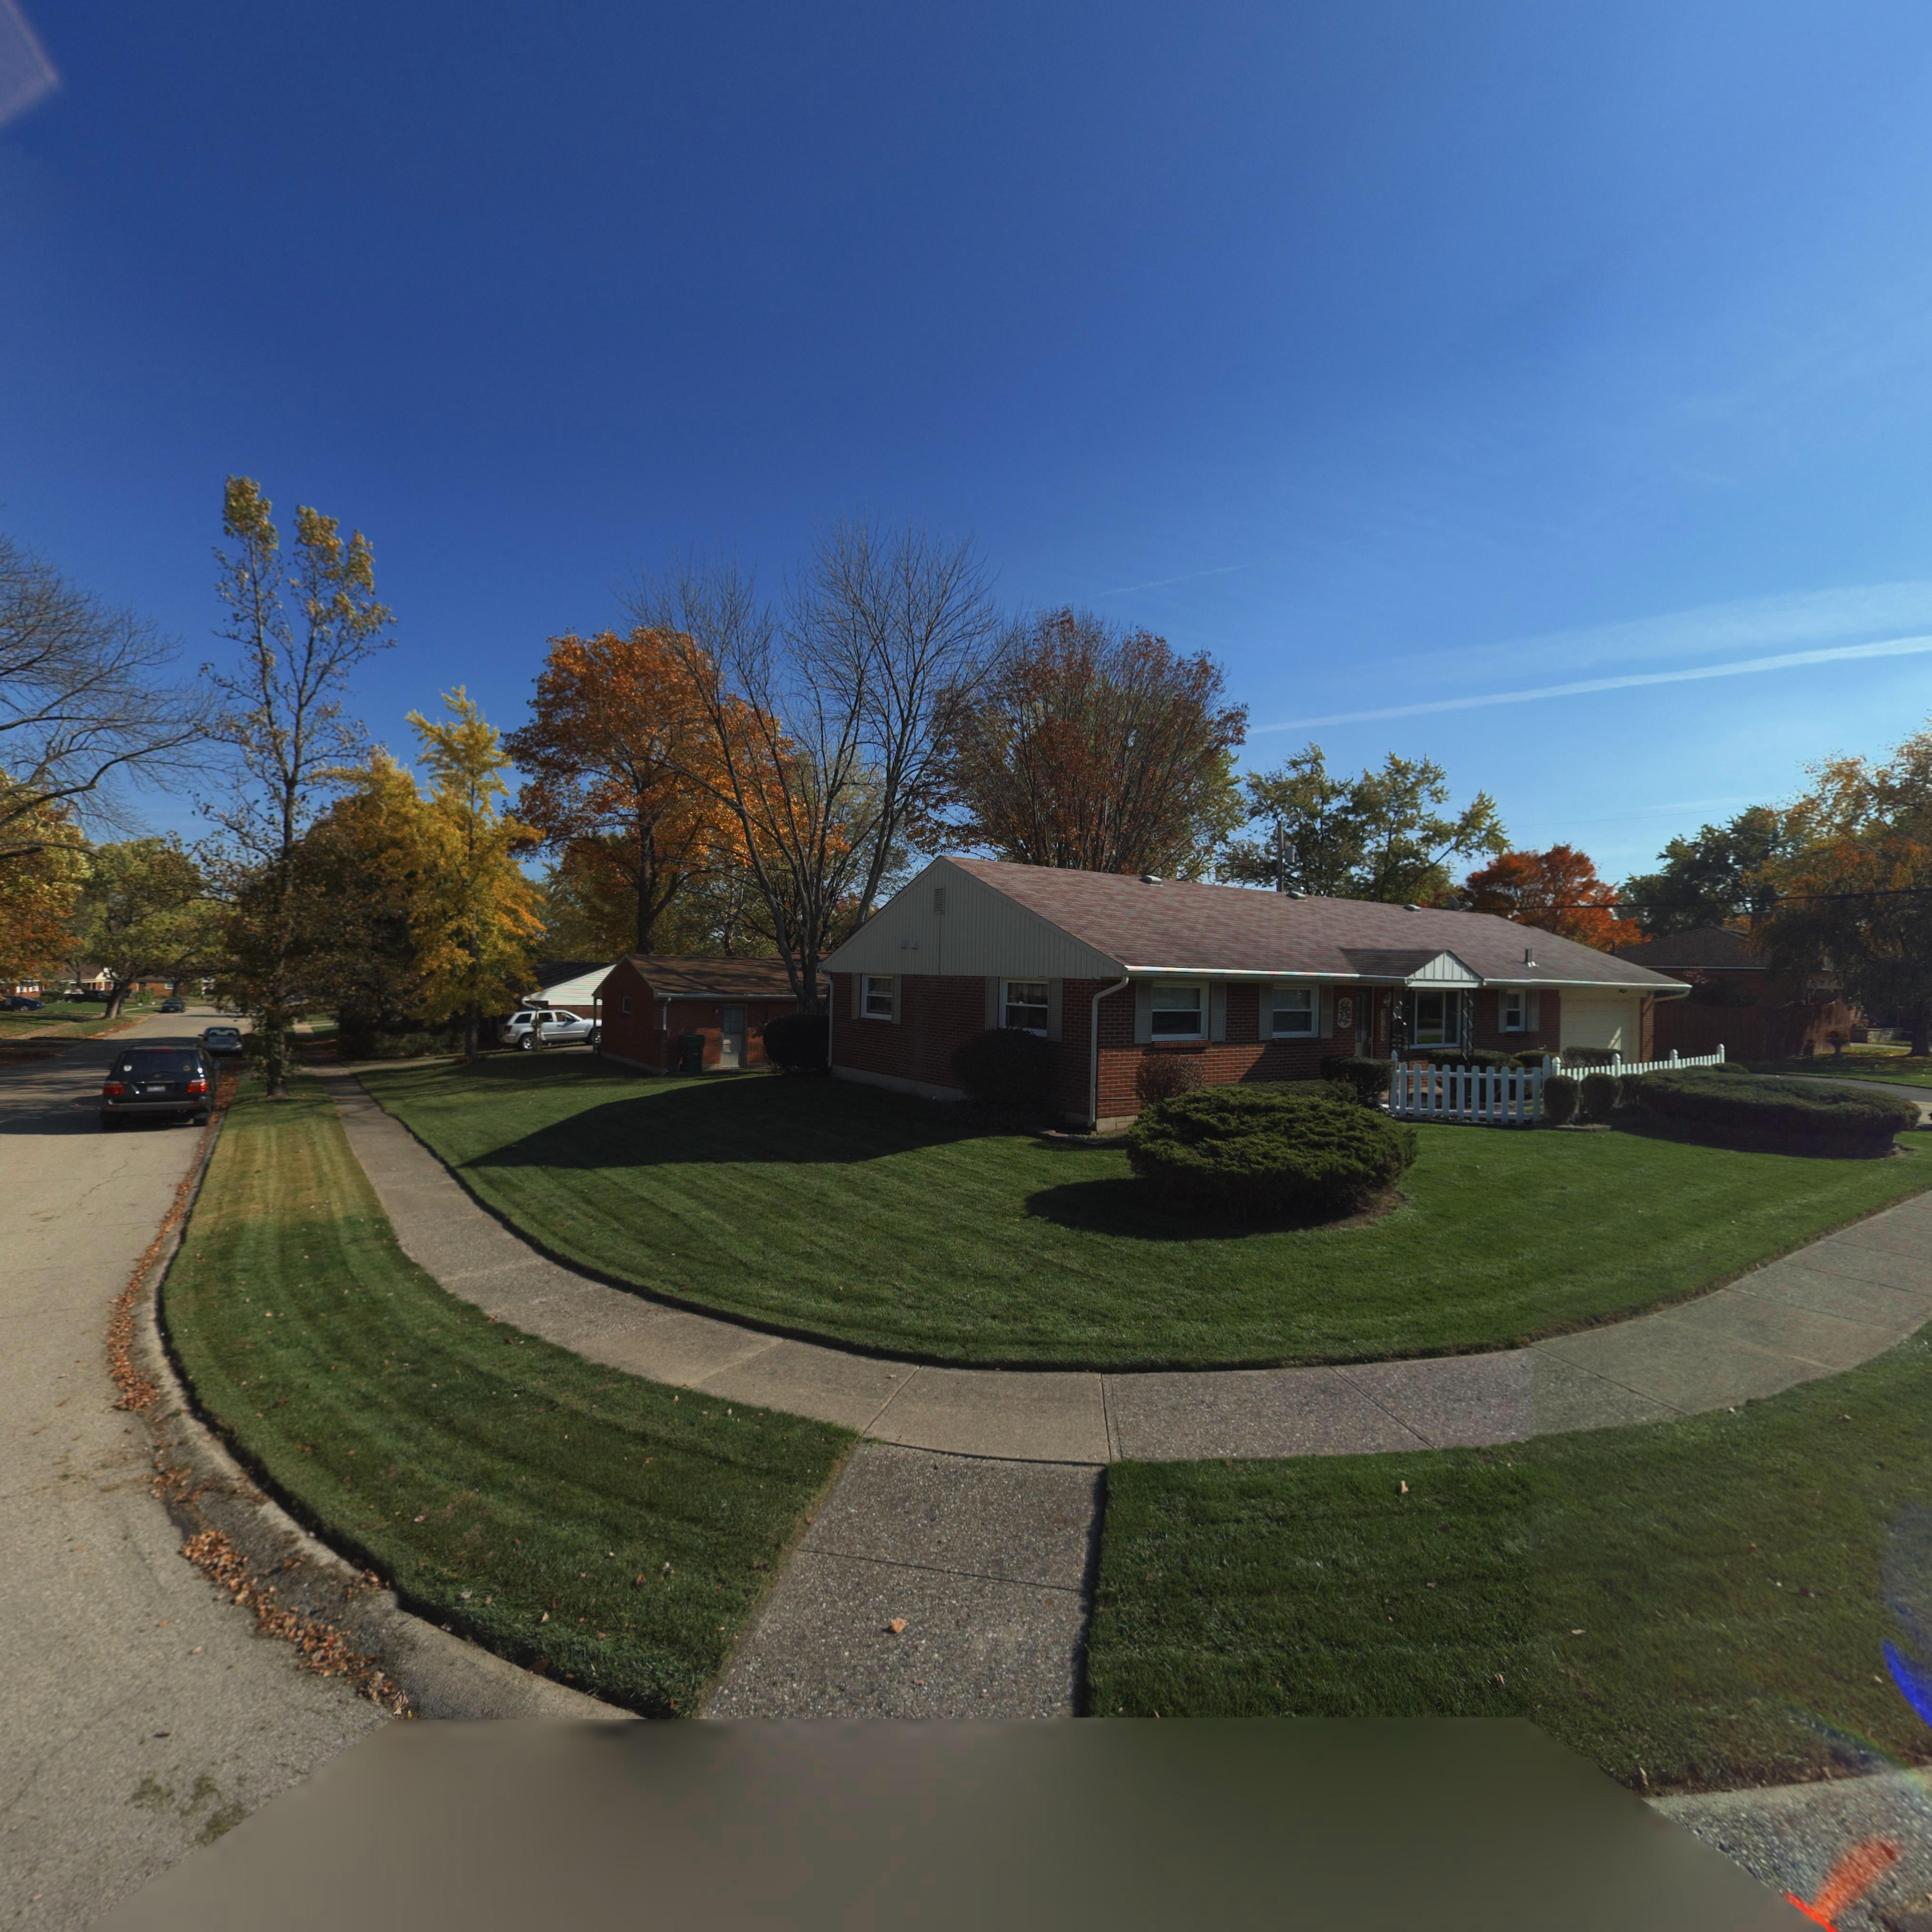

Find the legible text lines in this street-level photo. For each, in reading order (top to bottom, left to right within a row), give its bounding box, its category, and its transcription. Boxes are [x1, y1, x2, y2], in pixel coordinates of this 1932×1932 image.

[1380, 1008, 1386, 1041] StreetNumber: *700